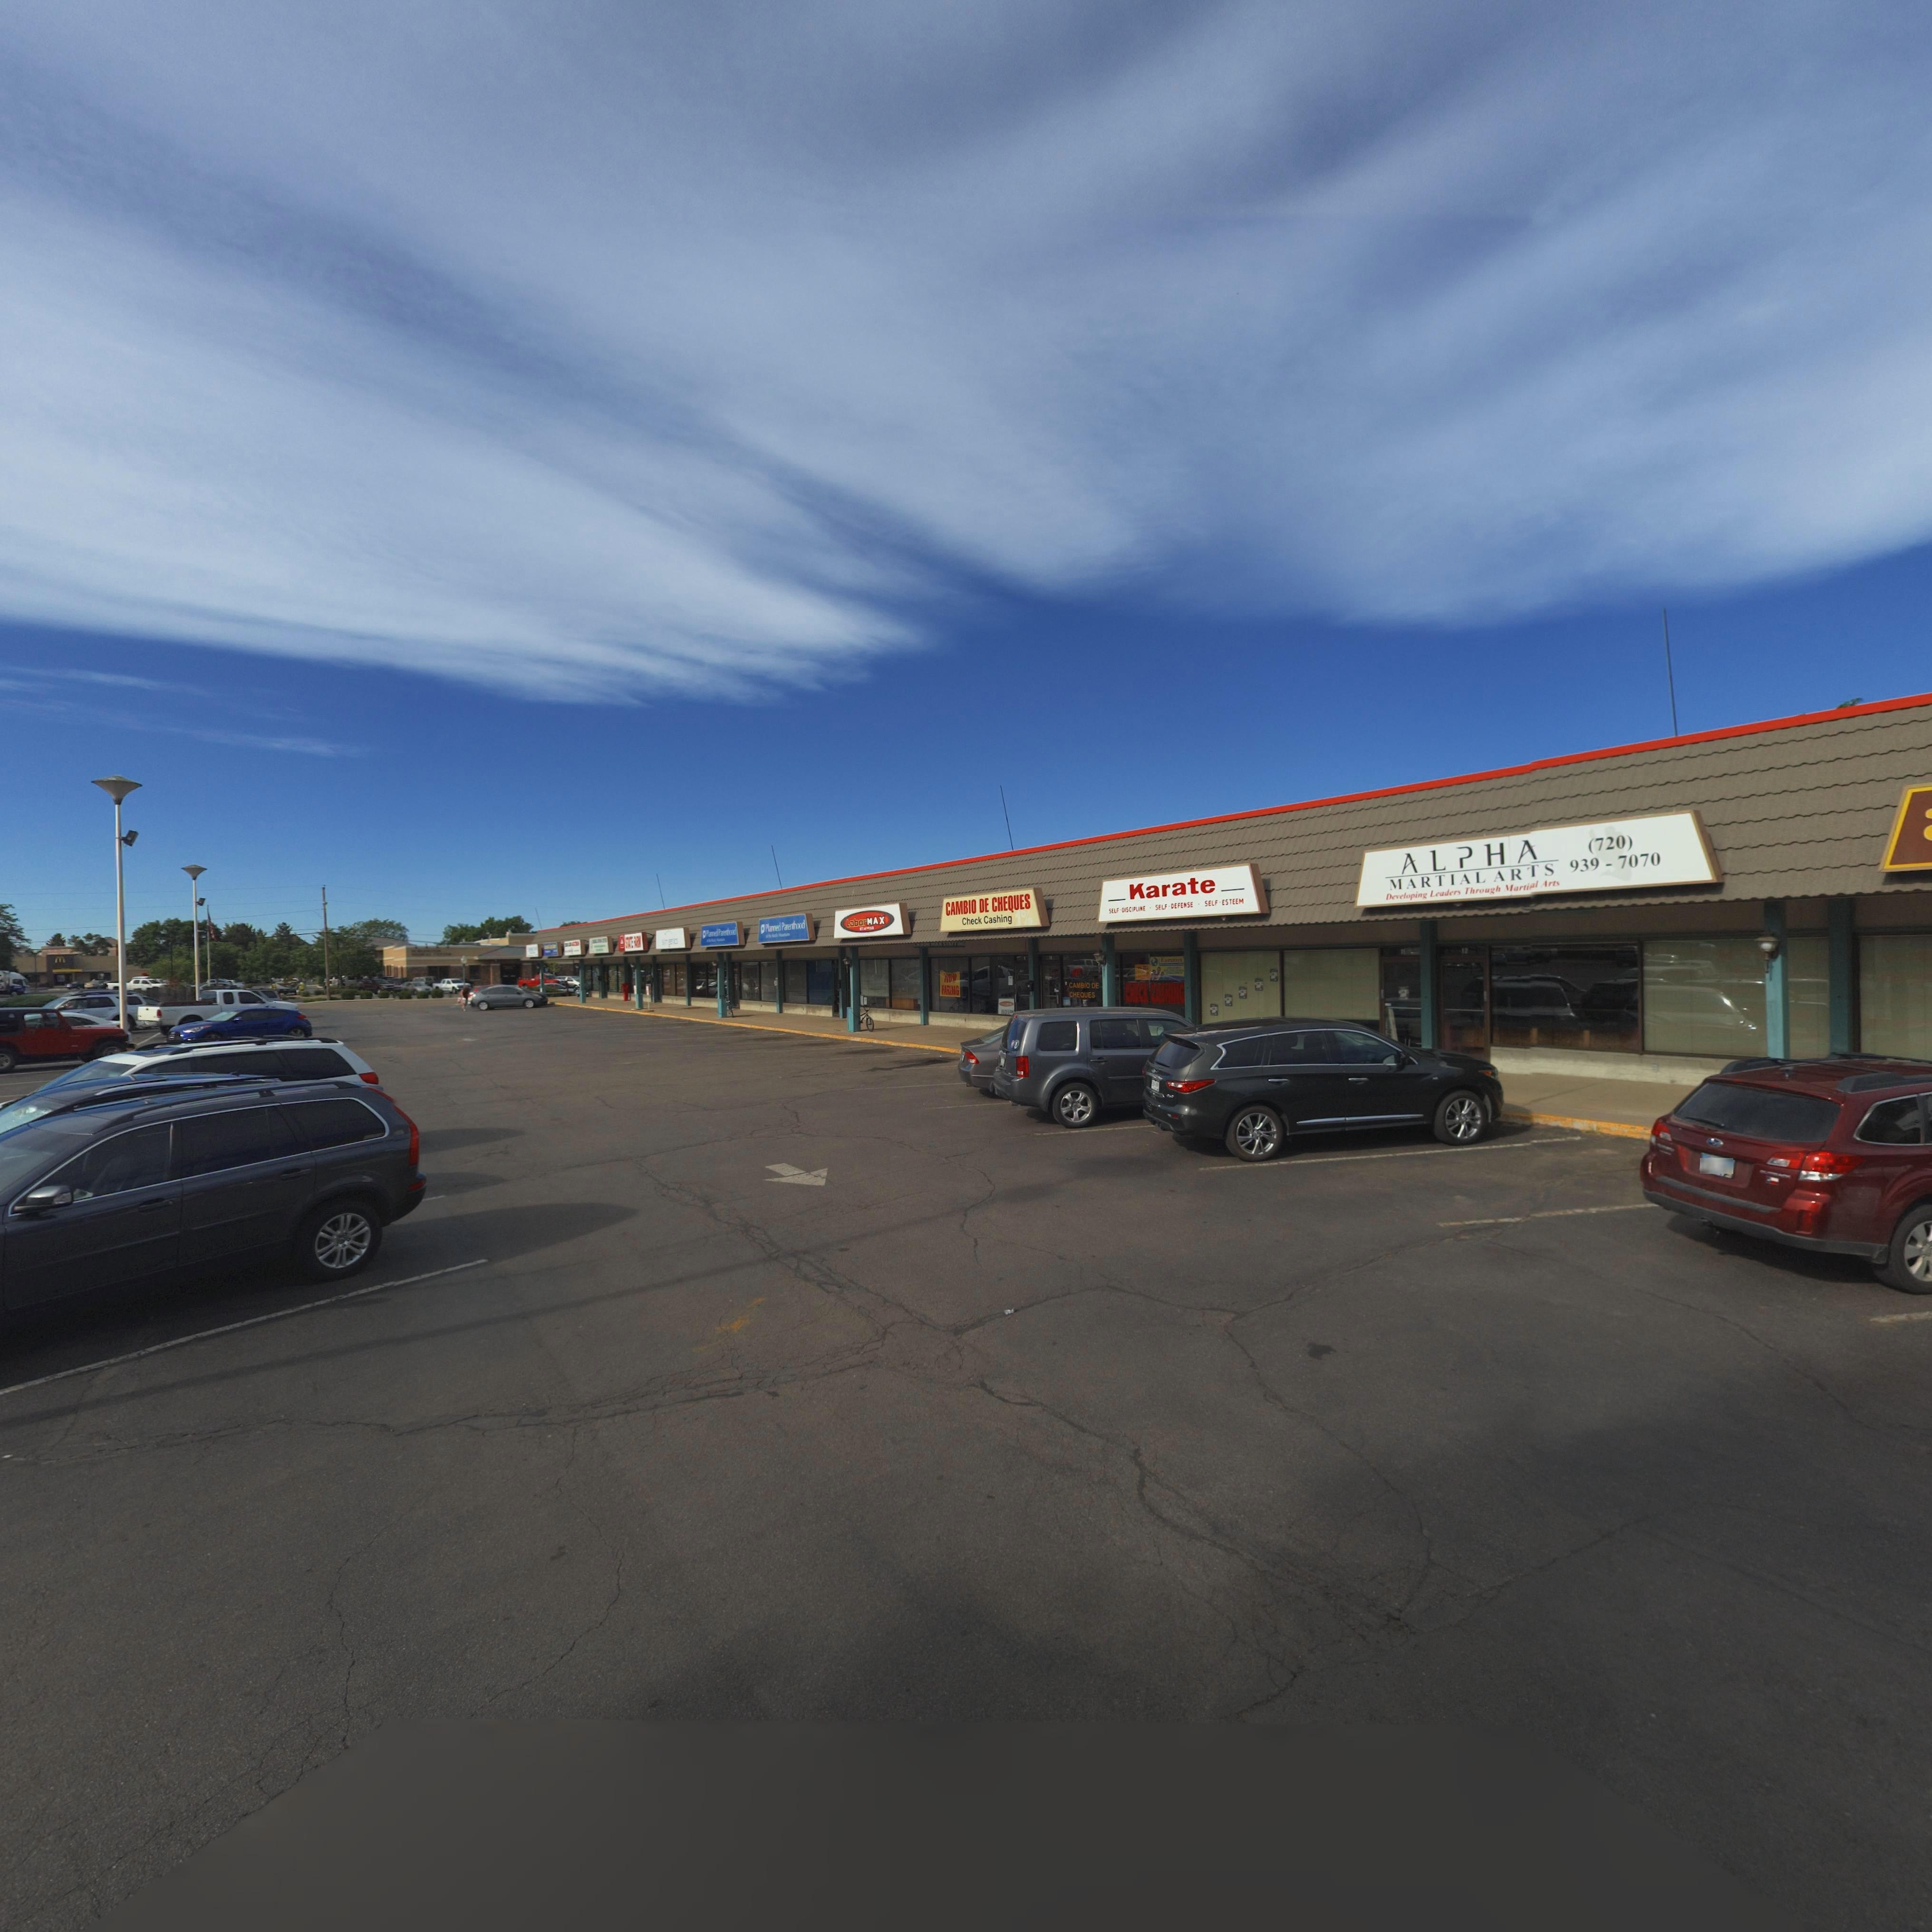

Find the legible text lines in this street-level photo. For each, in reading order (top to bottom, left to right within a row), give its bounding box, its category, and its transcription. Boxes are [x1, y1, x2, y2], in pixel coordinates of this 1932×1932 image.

[1400, 838, 1539, 875] BusinessName: ALPHA
[1389, 862, 1555, 890] BusinessName: MARTIAL ARTS
[945, 893, 1031, 916] BusinessName: CAMBIO DE CHEQUES
[705, 927, 737, 937] BusinessName: P*a***d Pa****ood
[764, 919, 805, 932] BusinessName: P*a**ed Parenthood
[846, 915, 885, 927] BusinessName: LaborMAX
[624, 934, 641, 948] BusinessName: ST**E ****
[913, 941, 966, 947] BusinessName: LABOR MAX STAFFING
[1069, 982, 1099, 989] BusinessName: CAMBIO DE
[1069, 991, 1095, 998] BusinessName: CHEQUES